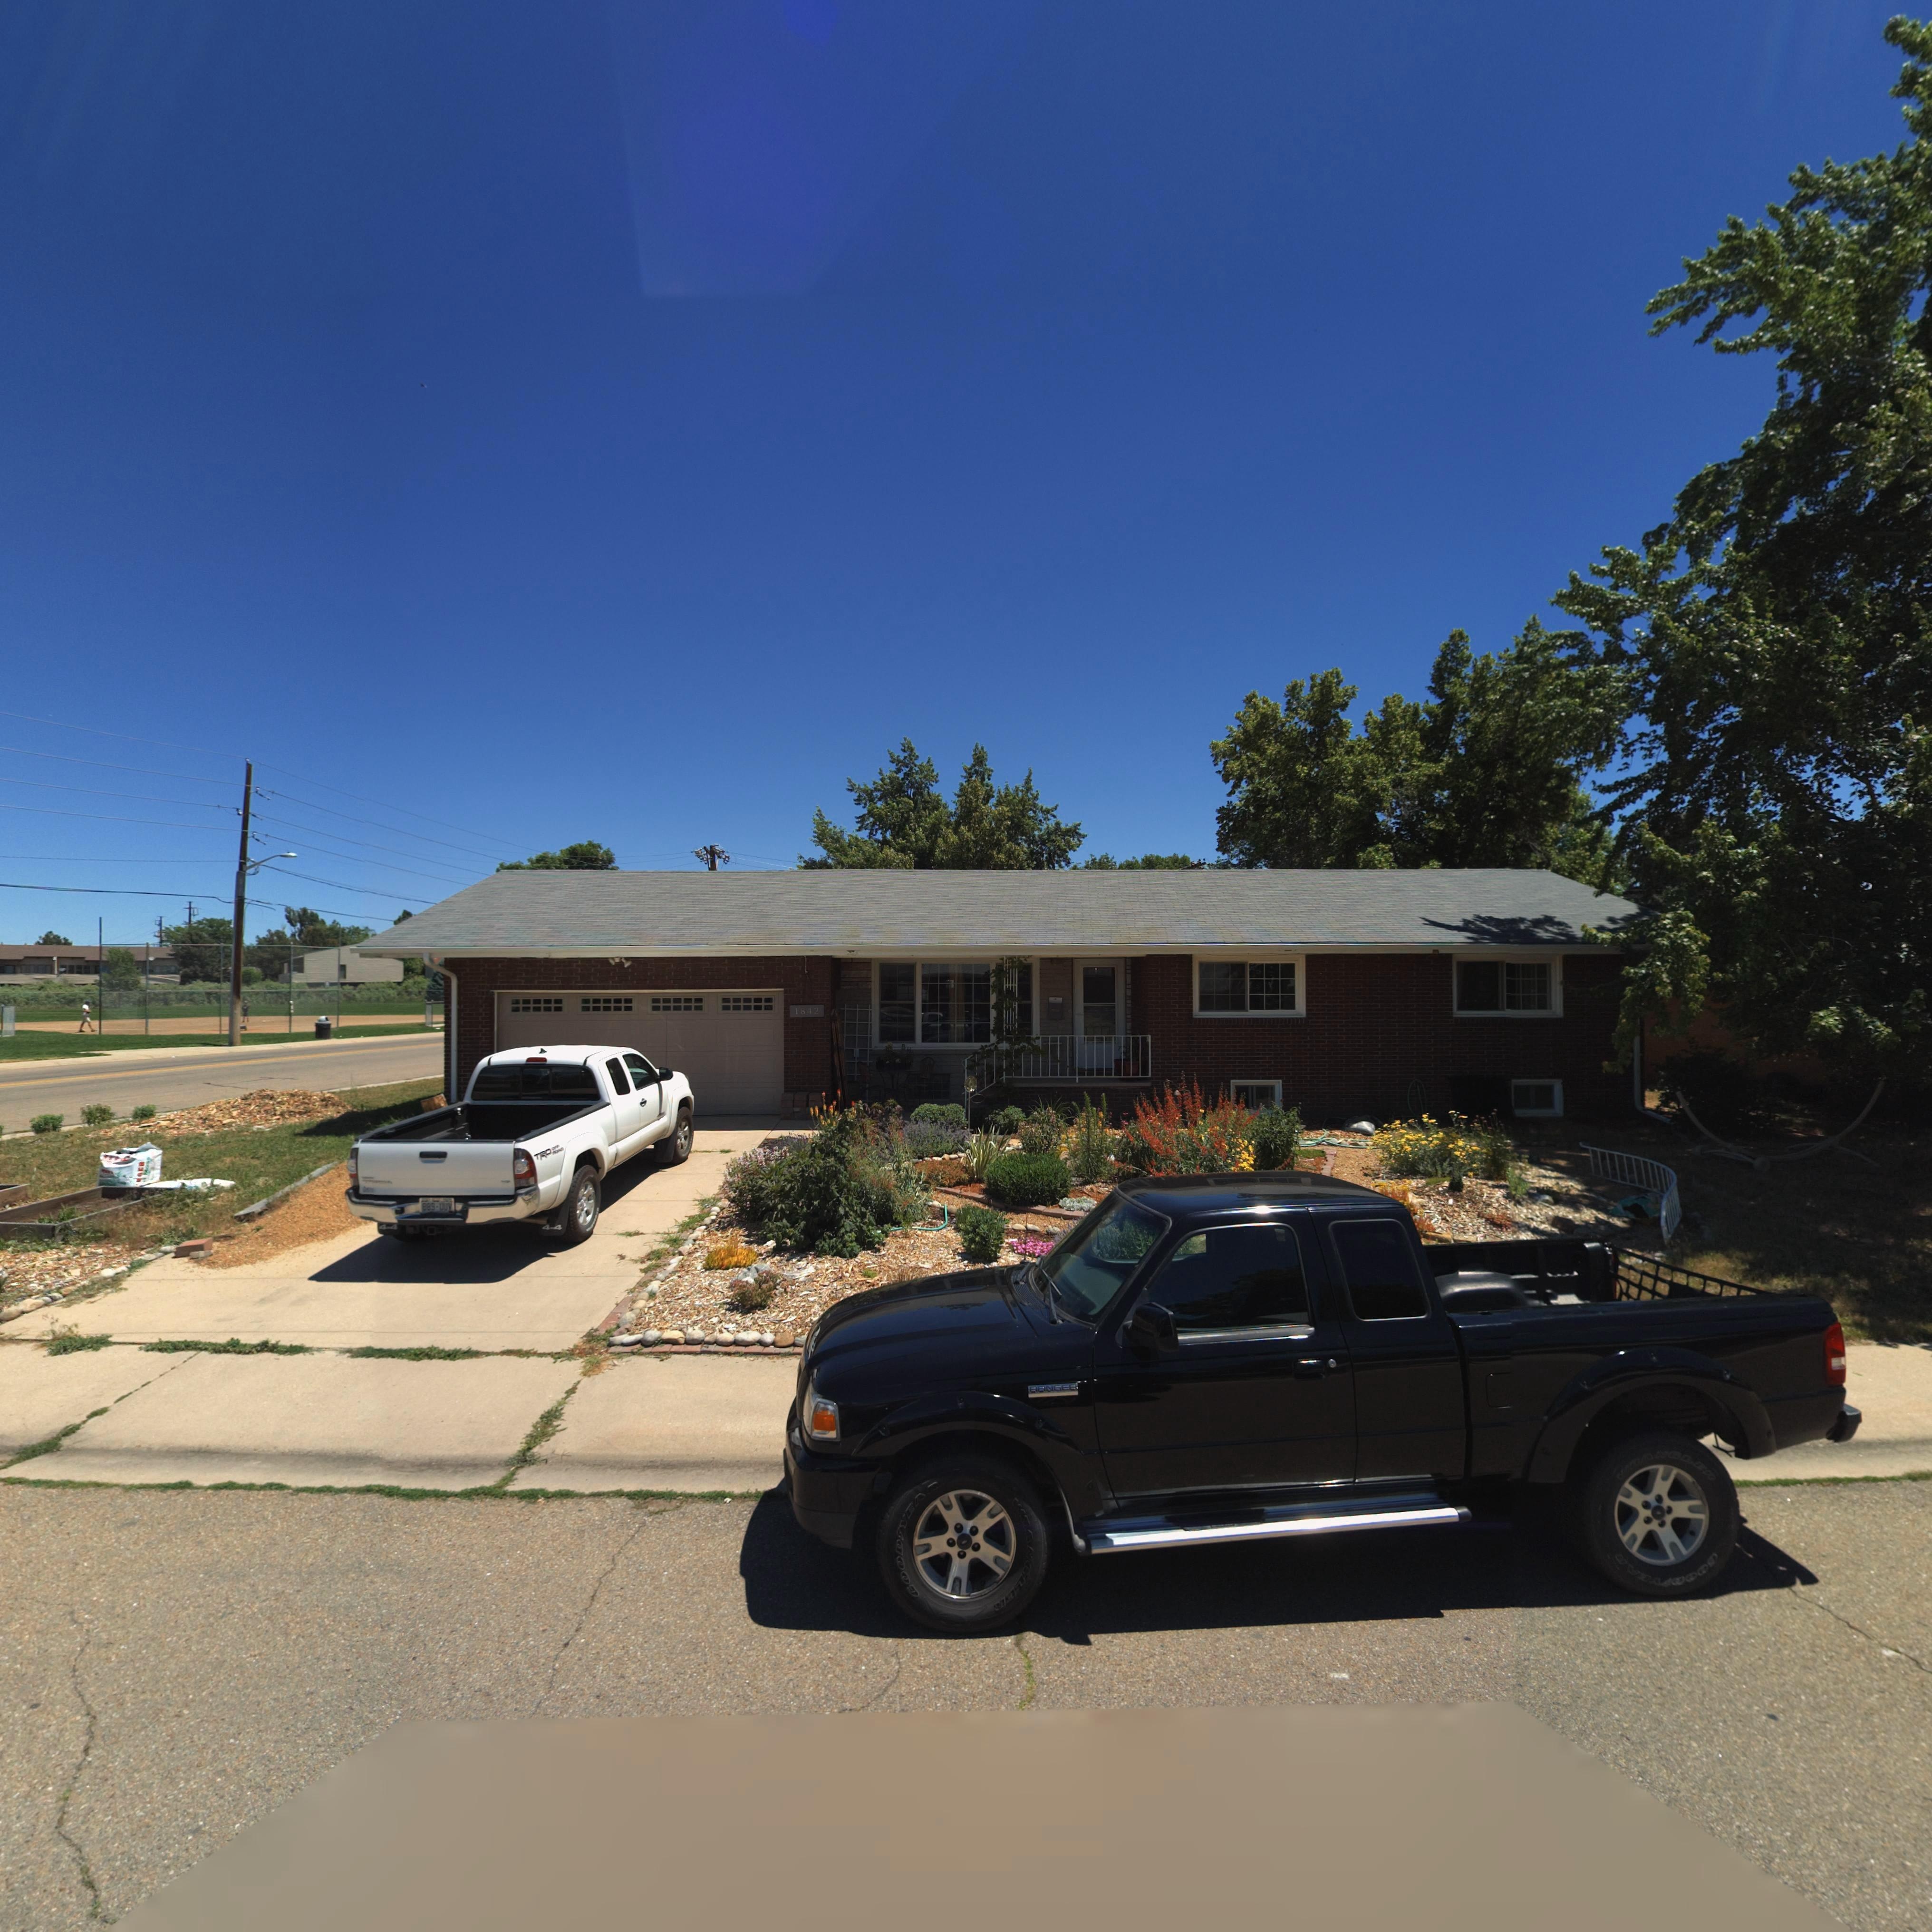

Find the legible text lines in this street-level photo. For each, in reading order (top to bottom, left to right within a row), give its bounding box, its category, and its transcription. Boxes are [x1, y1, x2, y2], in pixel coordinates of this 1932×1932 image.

[795, 1006, 819, 1015] StreetNumber: 1842